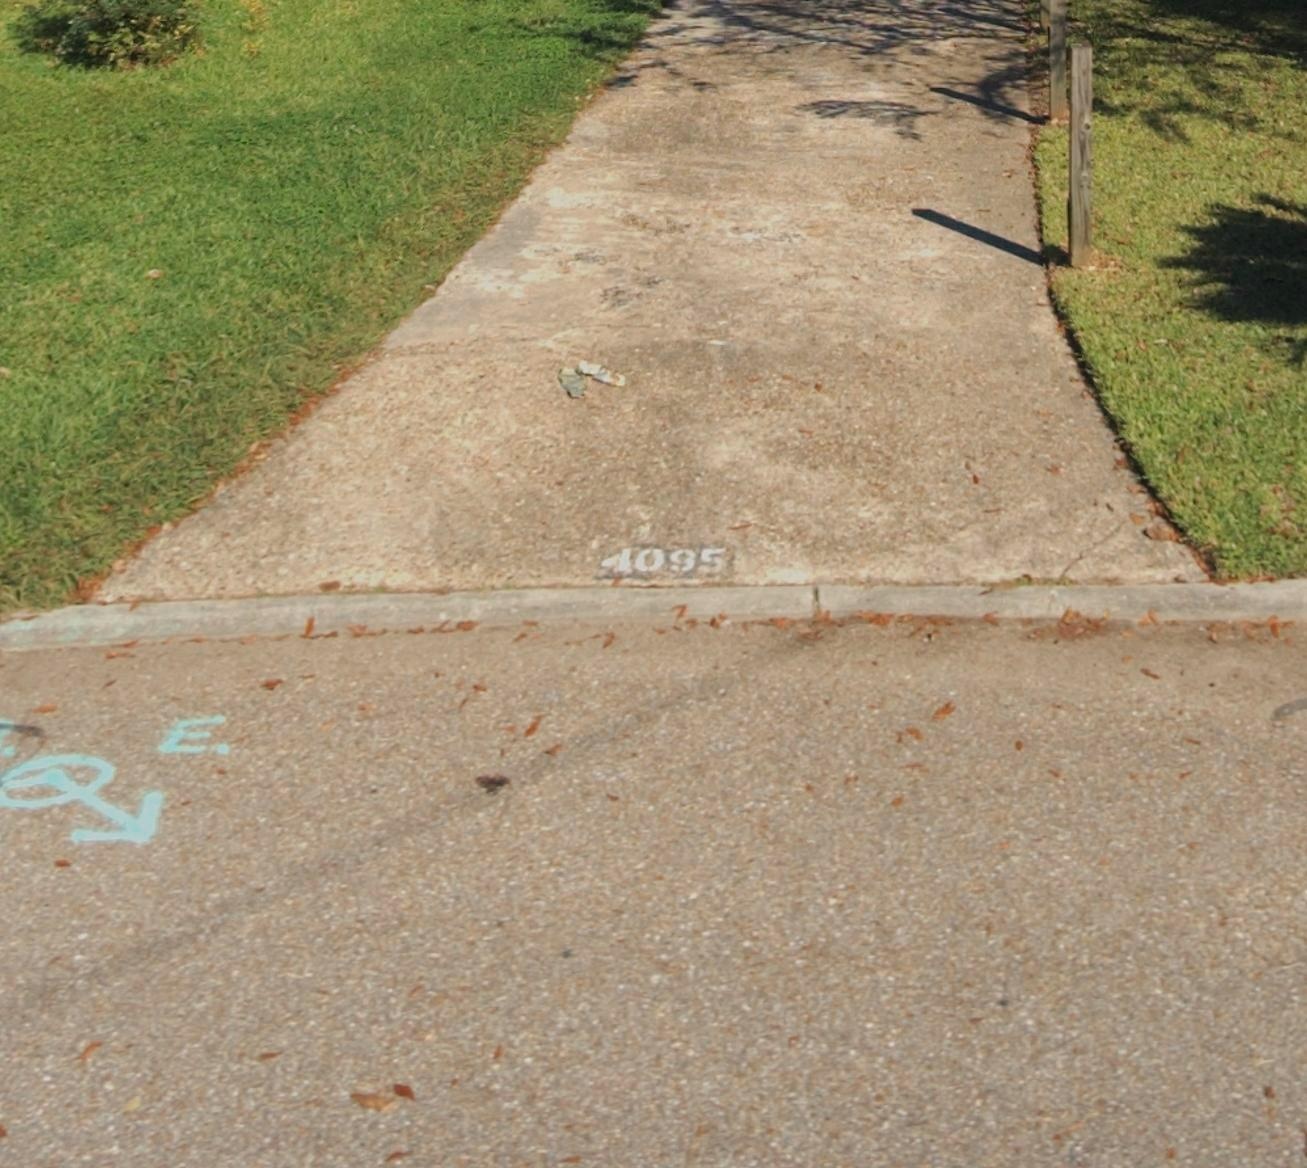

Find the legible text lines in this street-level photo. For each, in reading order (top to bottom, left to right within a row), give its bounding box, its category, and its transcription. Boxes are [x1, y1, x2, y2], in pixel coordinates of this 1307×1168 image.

[599, 545, 729, 575] StreetNumber: 4095
[150, 709, 235, 759] None: E